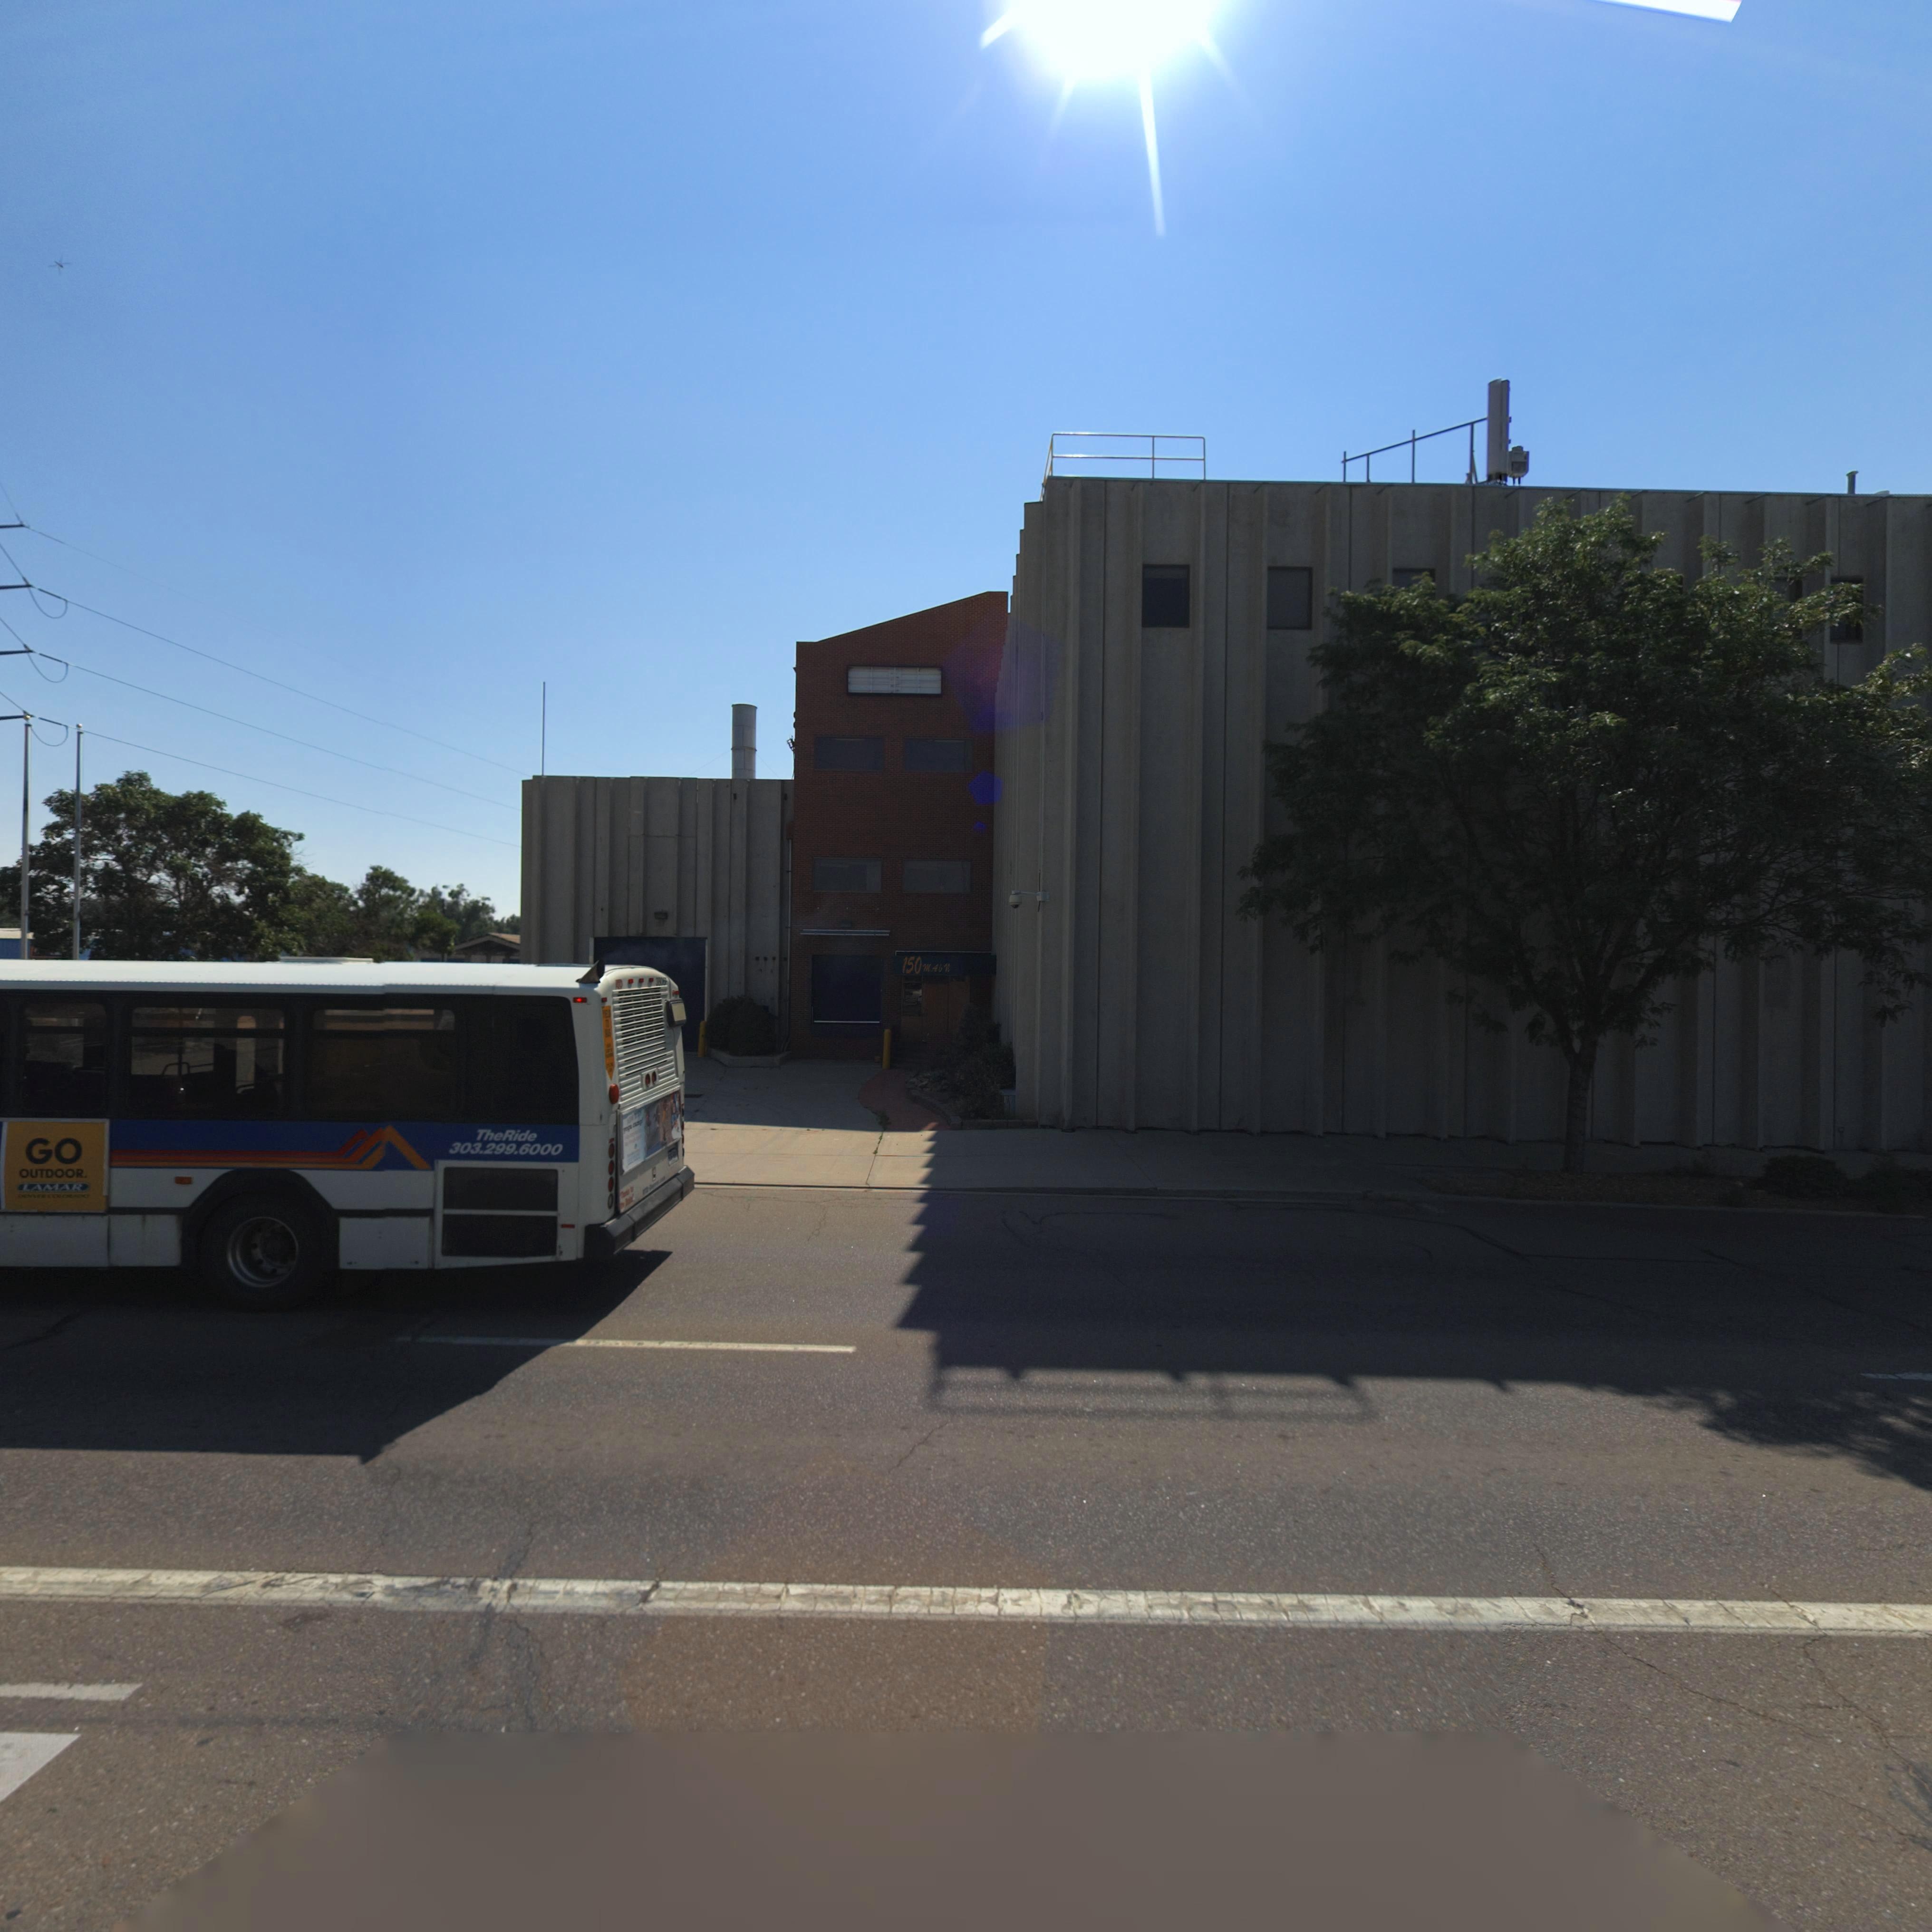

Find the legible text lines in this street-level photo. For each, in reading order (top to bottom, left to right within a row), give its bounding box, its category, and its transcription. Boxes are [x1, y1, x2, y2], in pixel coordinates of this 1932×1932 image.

[901, 956, 922, 975] StreetNumber: 150
[922, 963, 951, 973] StreetName: MAIN